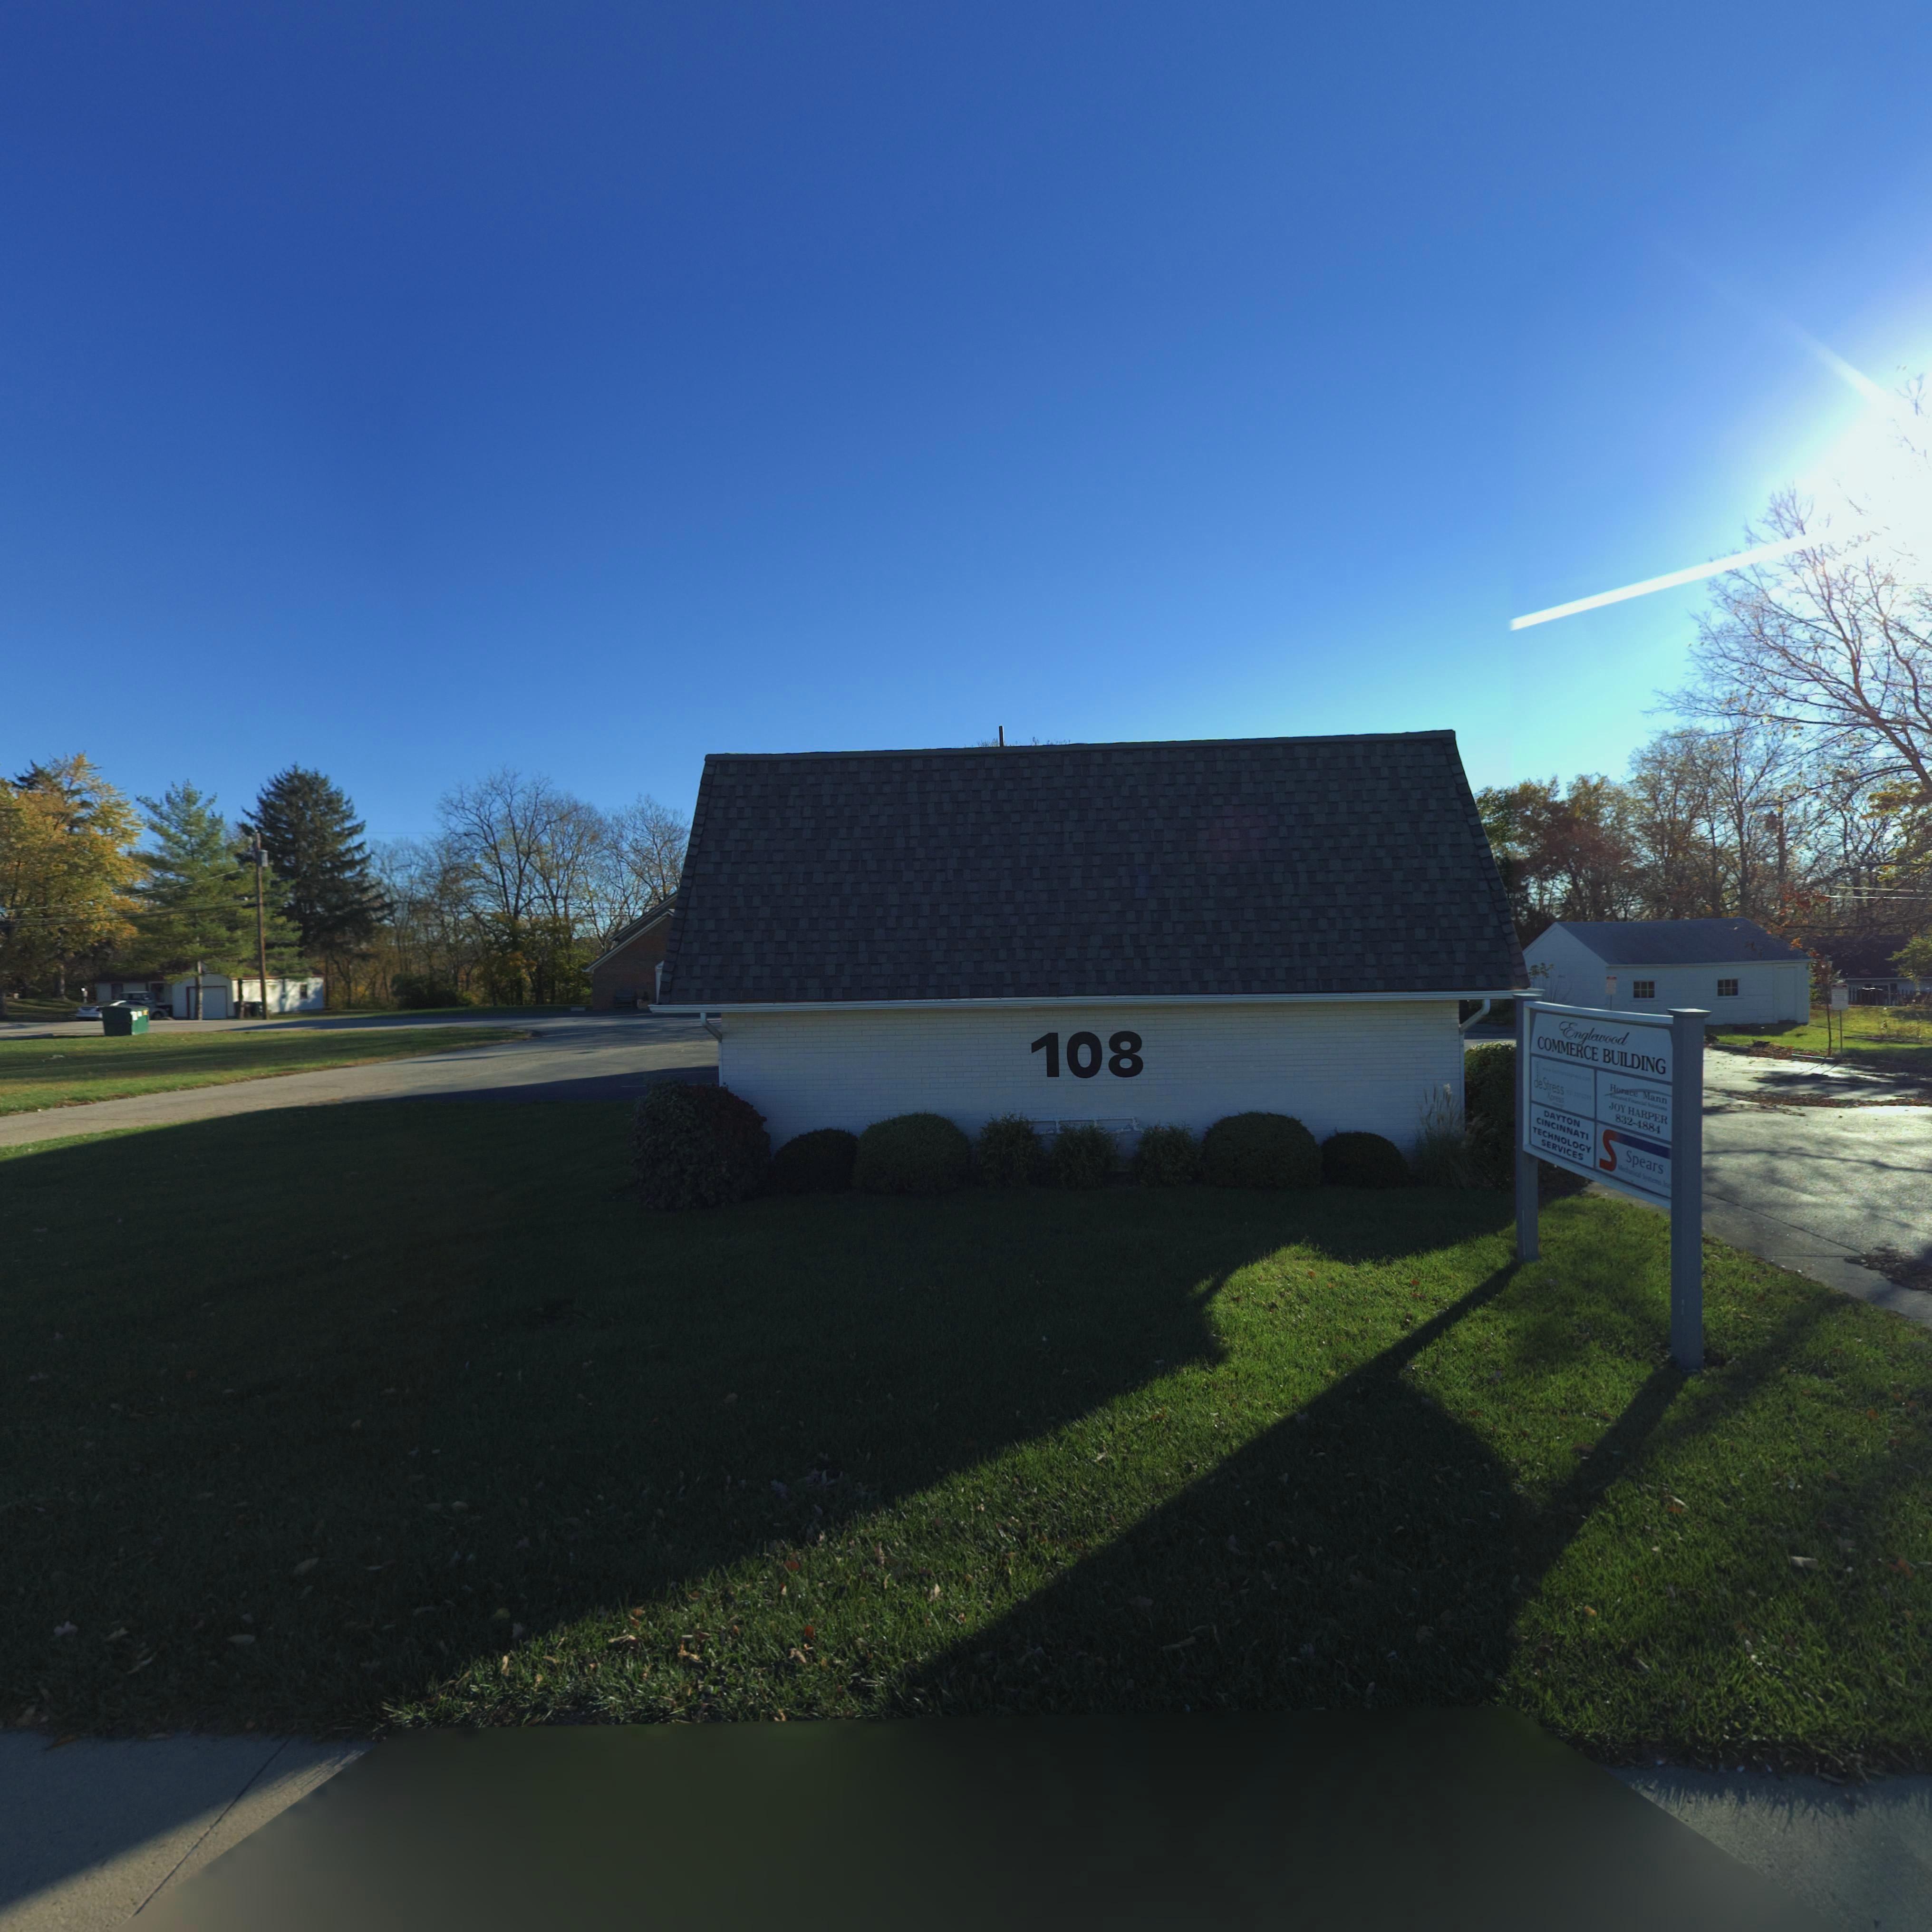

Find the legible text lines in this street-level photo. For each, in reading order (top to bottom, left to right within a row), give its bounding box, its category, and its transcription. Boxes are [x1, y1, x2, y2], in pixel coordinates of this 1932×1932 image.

[1031, 1030, 1144, 1079] StreetNumber: 108